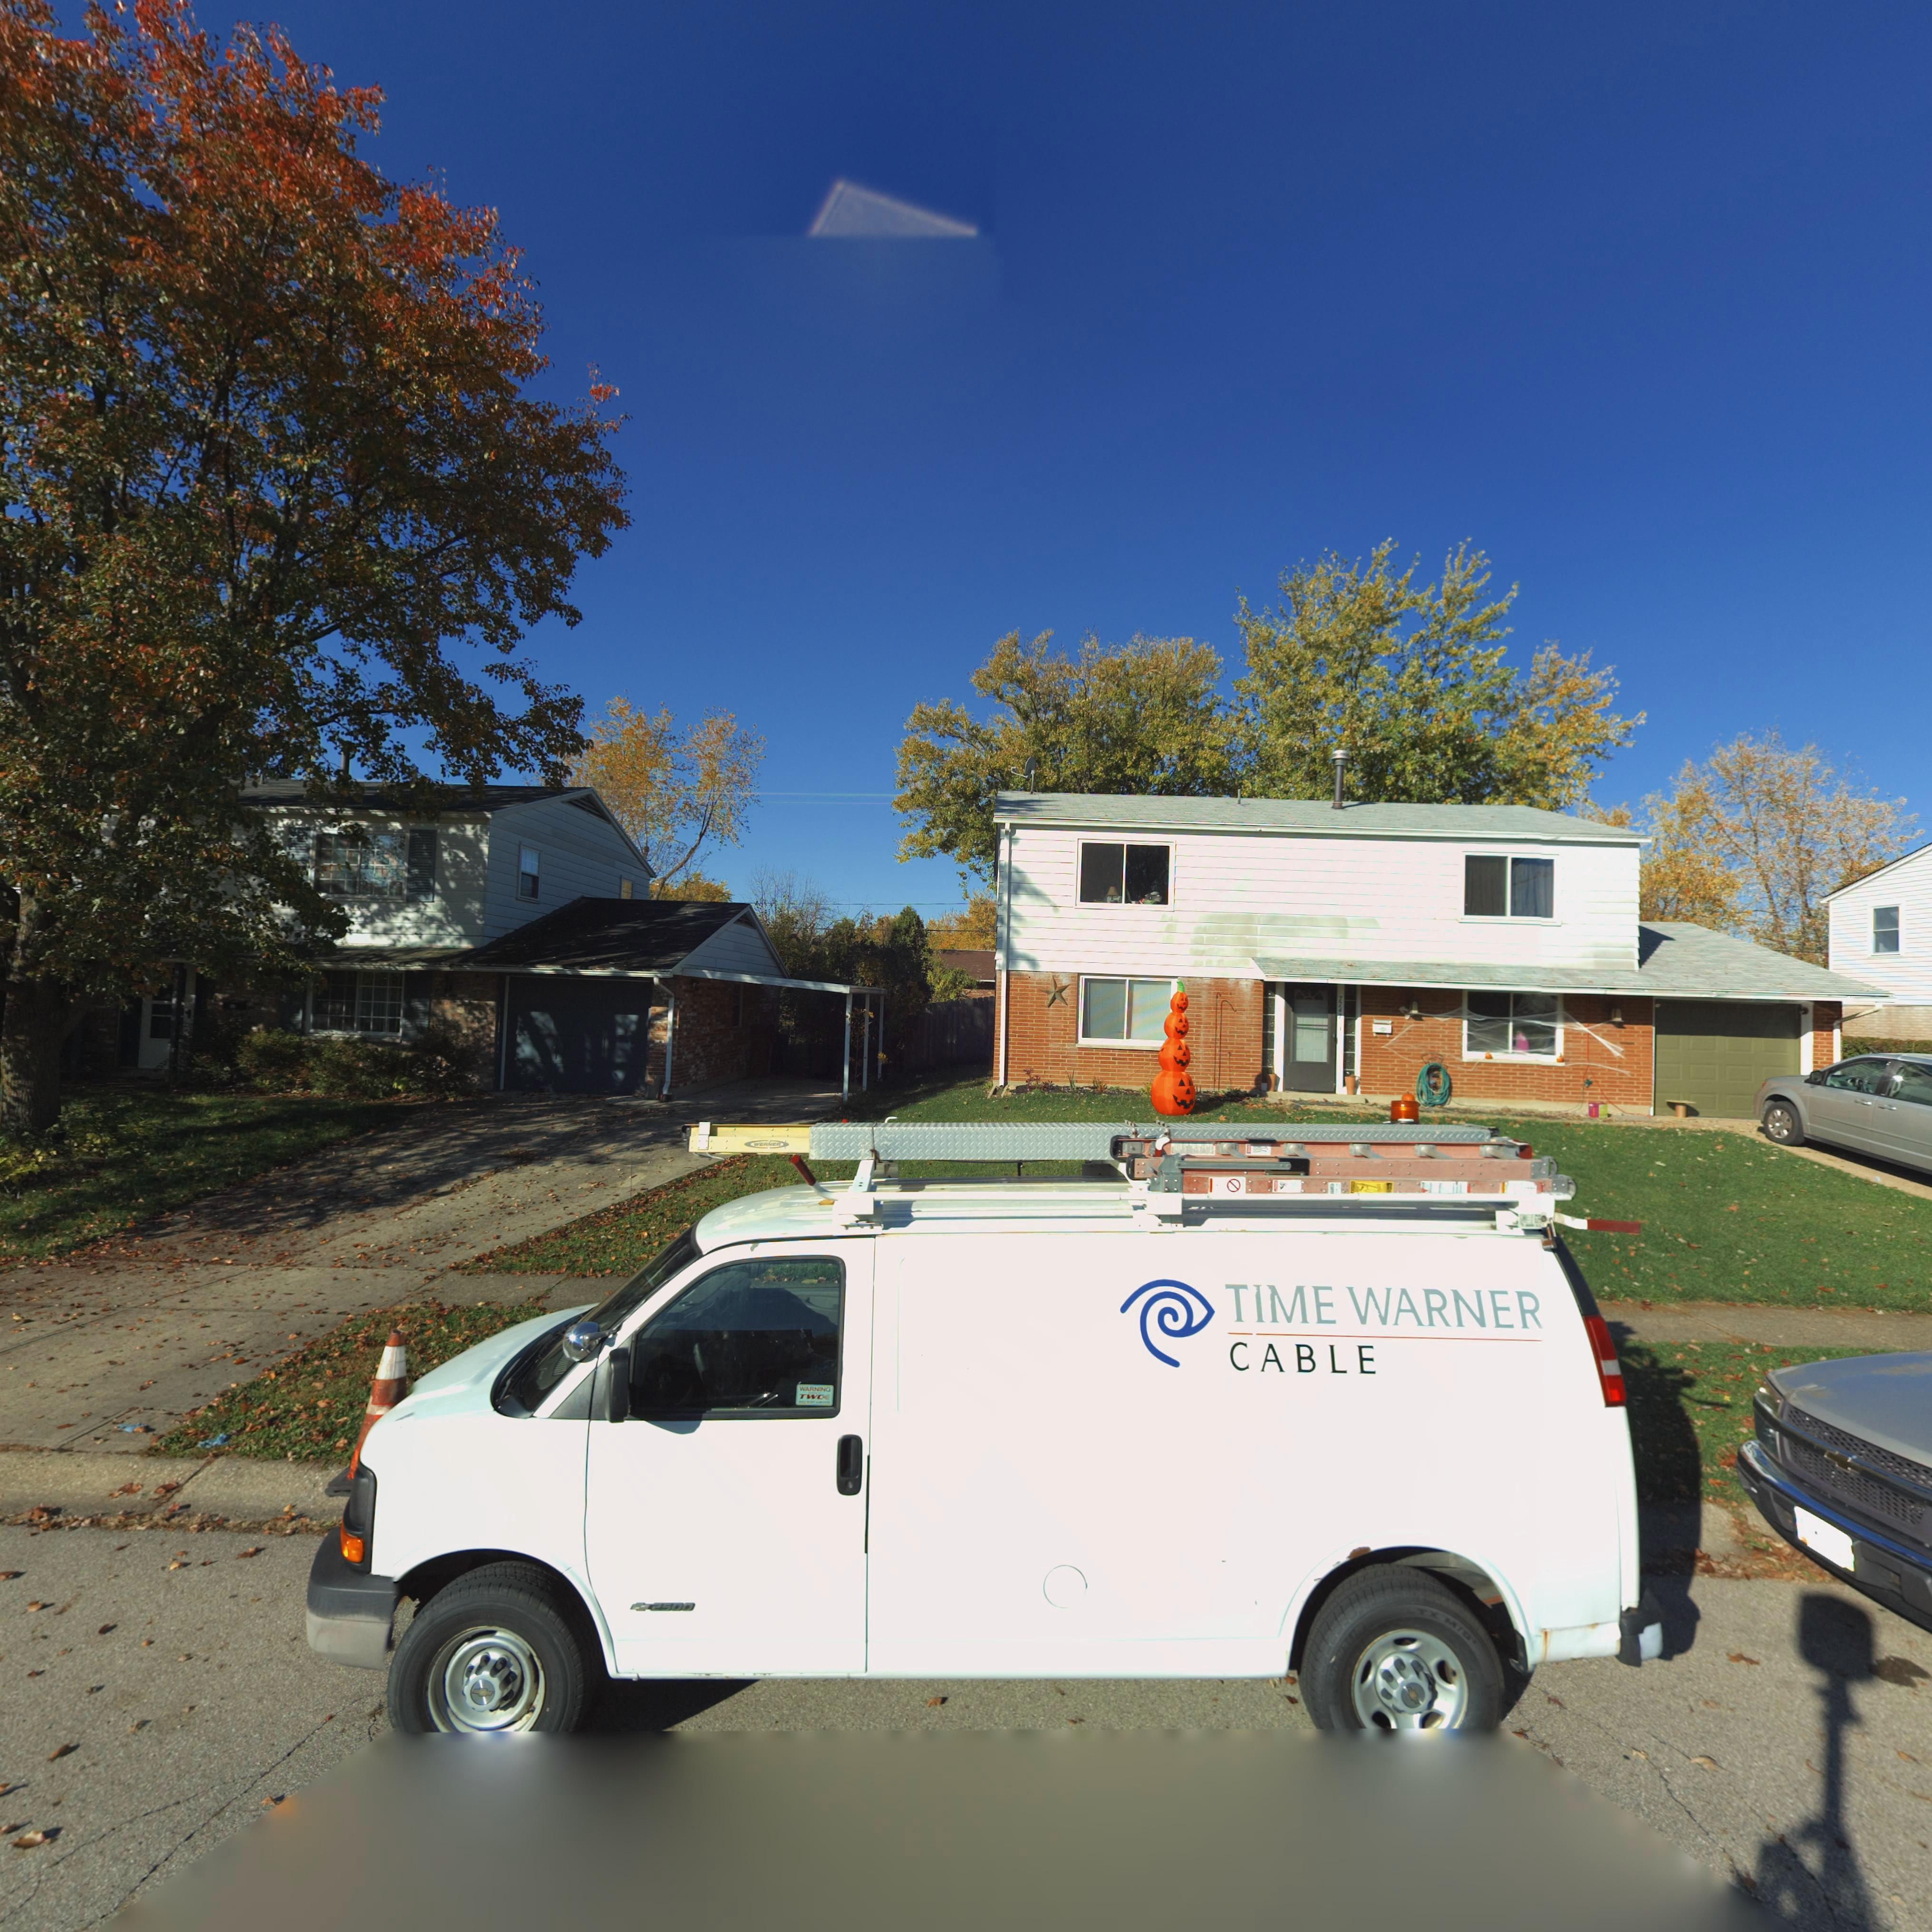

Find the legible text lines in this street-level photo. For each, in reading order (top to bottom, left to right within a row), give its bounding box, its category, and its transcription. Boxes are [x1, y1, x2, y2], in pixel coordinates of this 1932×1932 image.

[1337, 995, 1344, 1020] StreetNumber: 7747